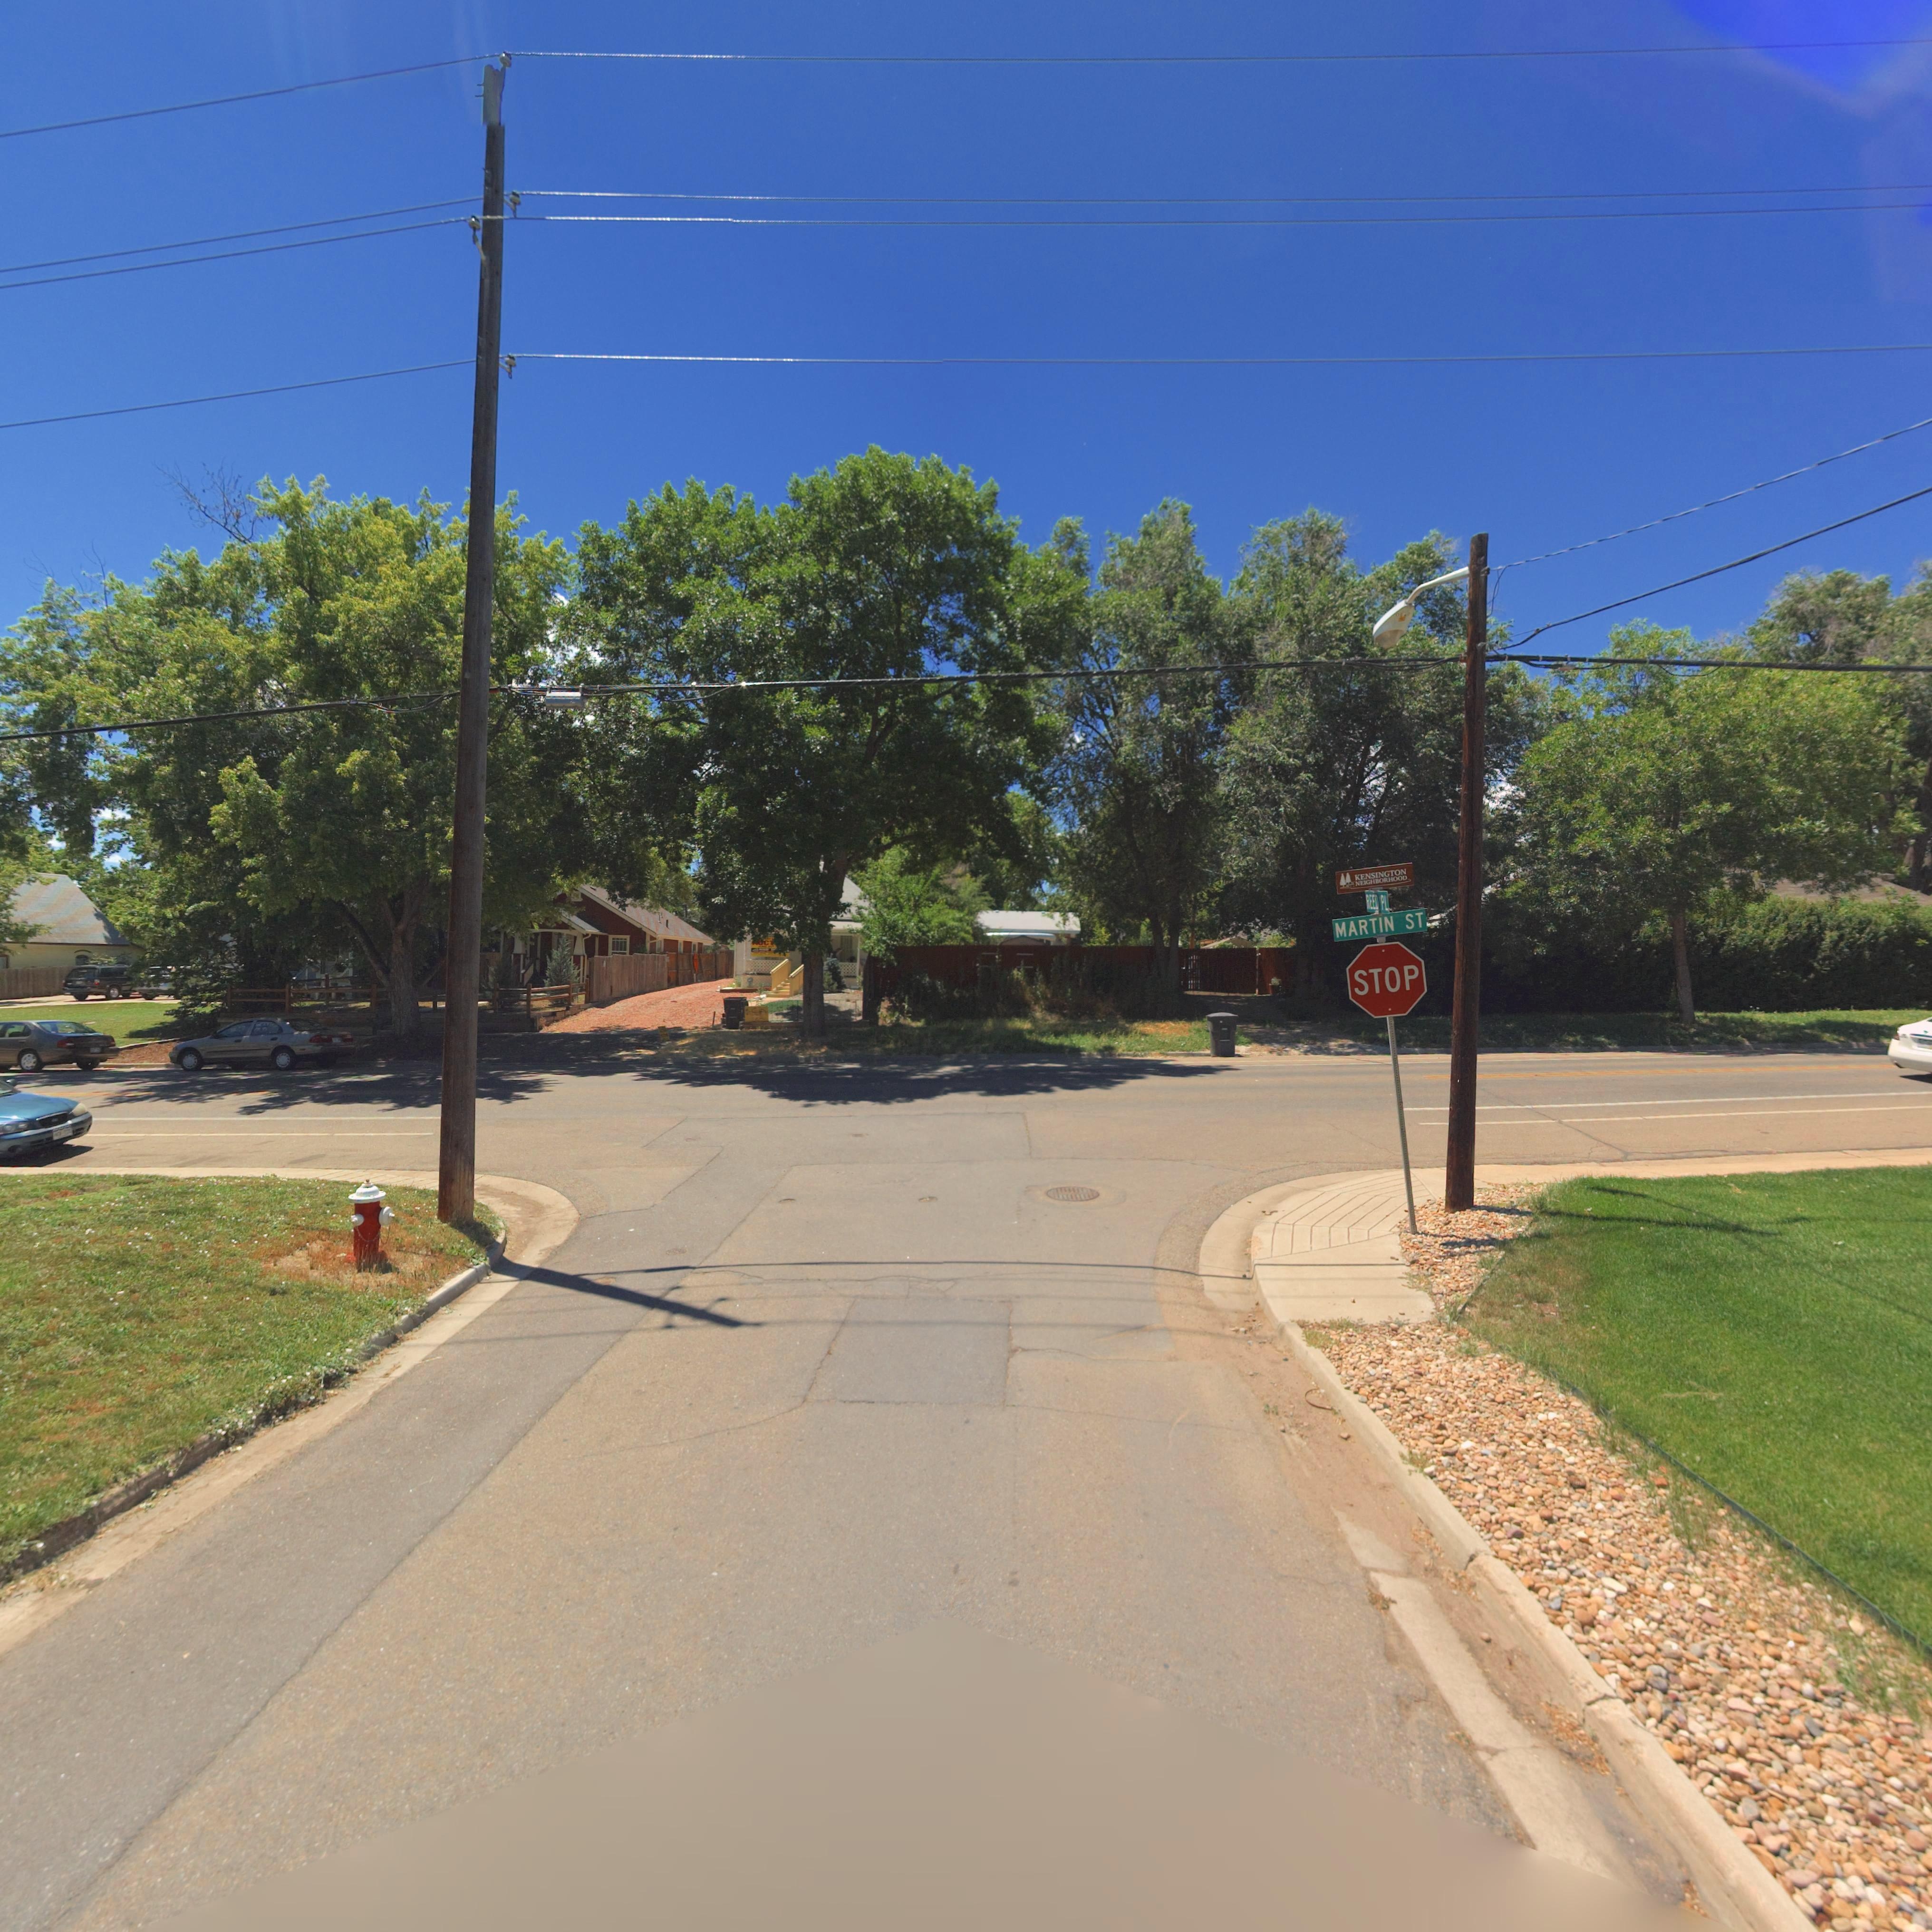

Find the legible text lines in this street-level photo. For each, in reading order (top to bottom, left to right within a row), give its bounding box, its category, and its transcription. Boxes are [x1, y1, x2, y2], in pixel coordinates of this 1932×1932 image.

[1365, 893, 1390, 911] StreetName: REED PL
[1334, 911, 1424, 938] StreetName: MARTIN ST